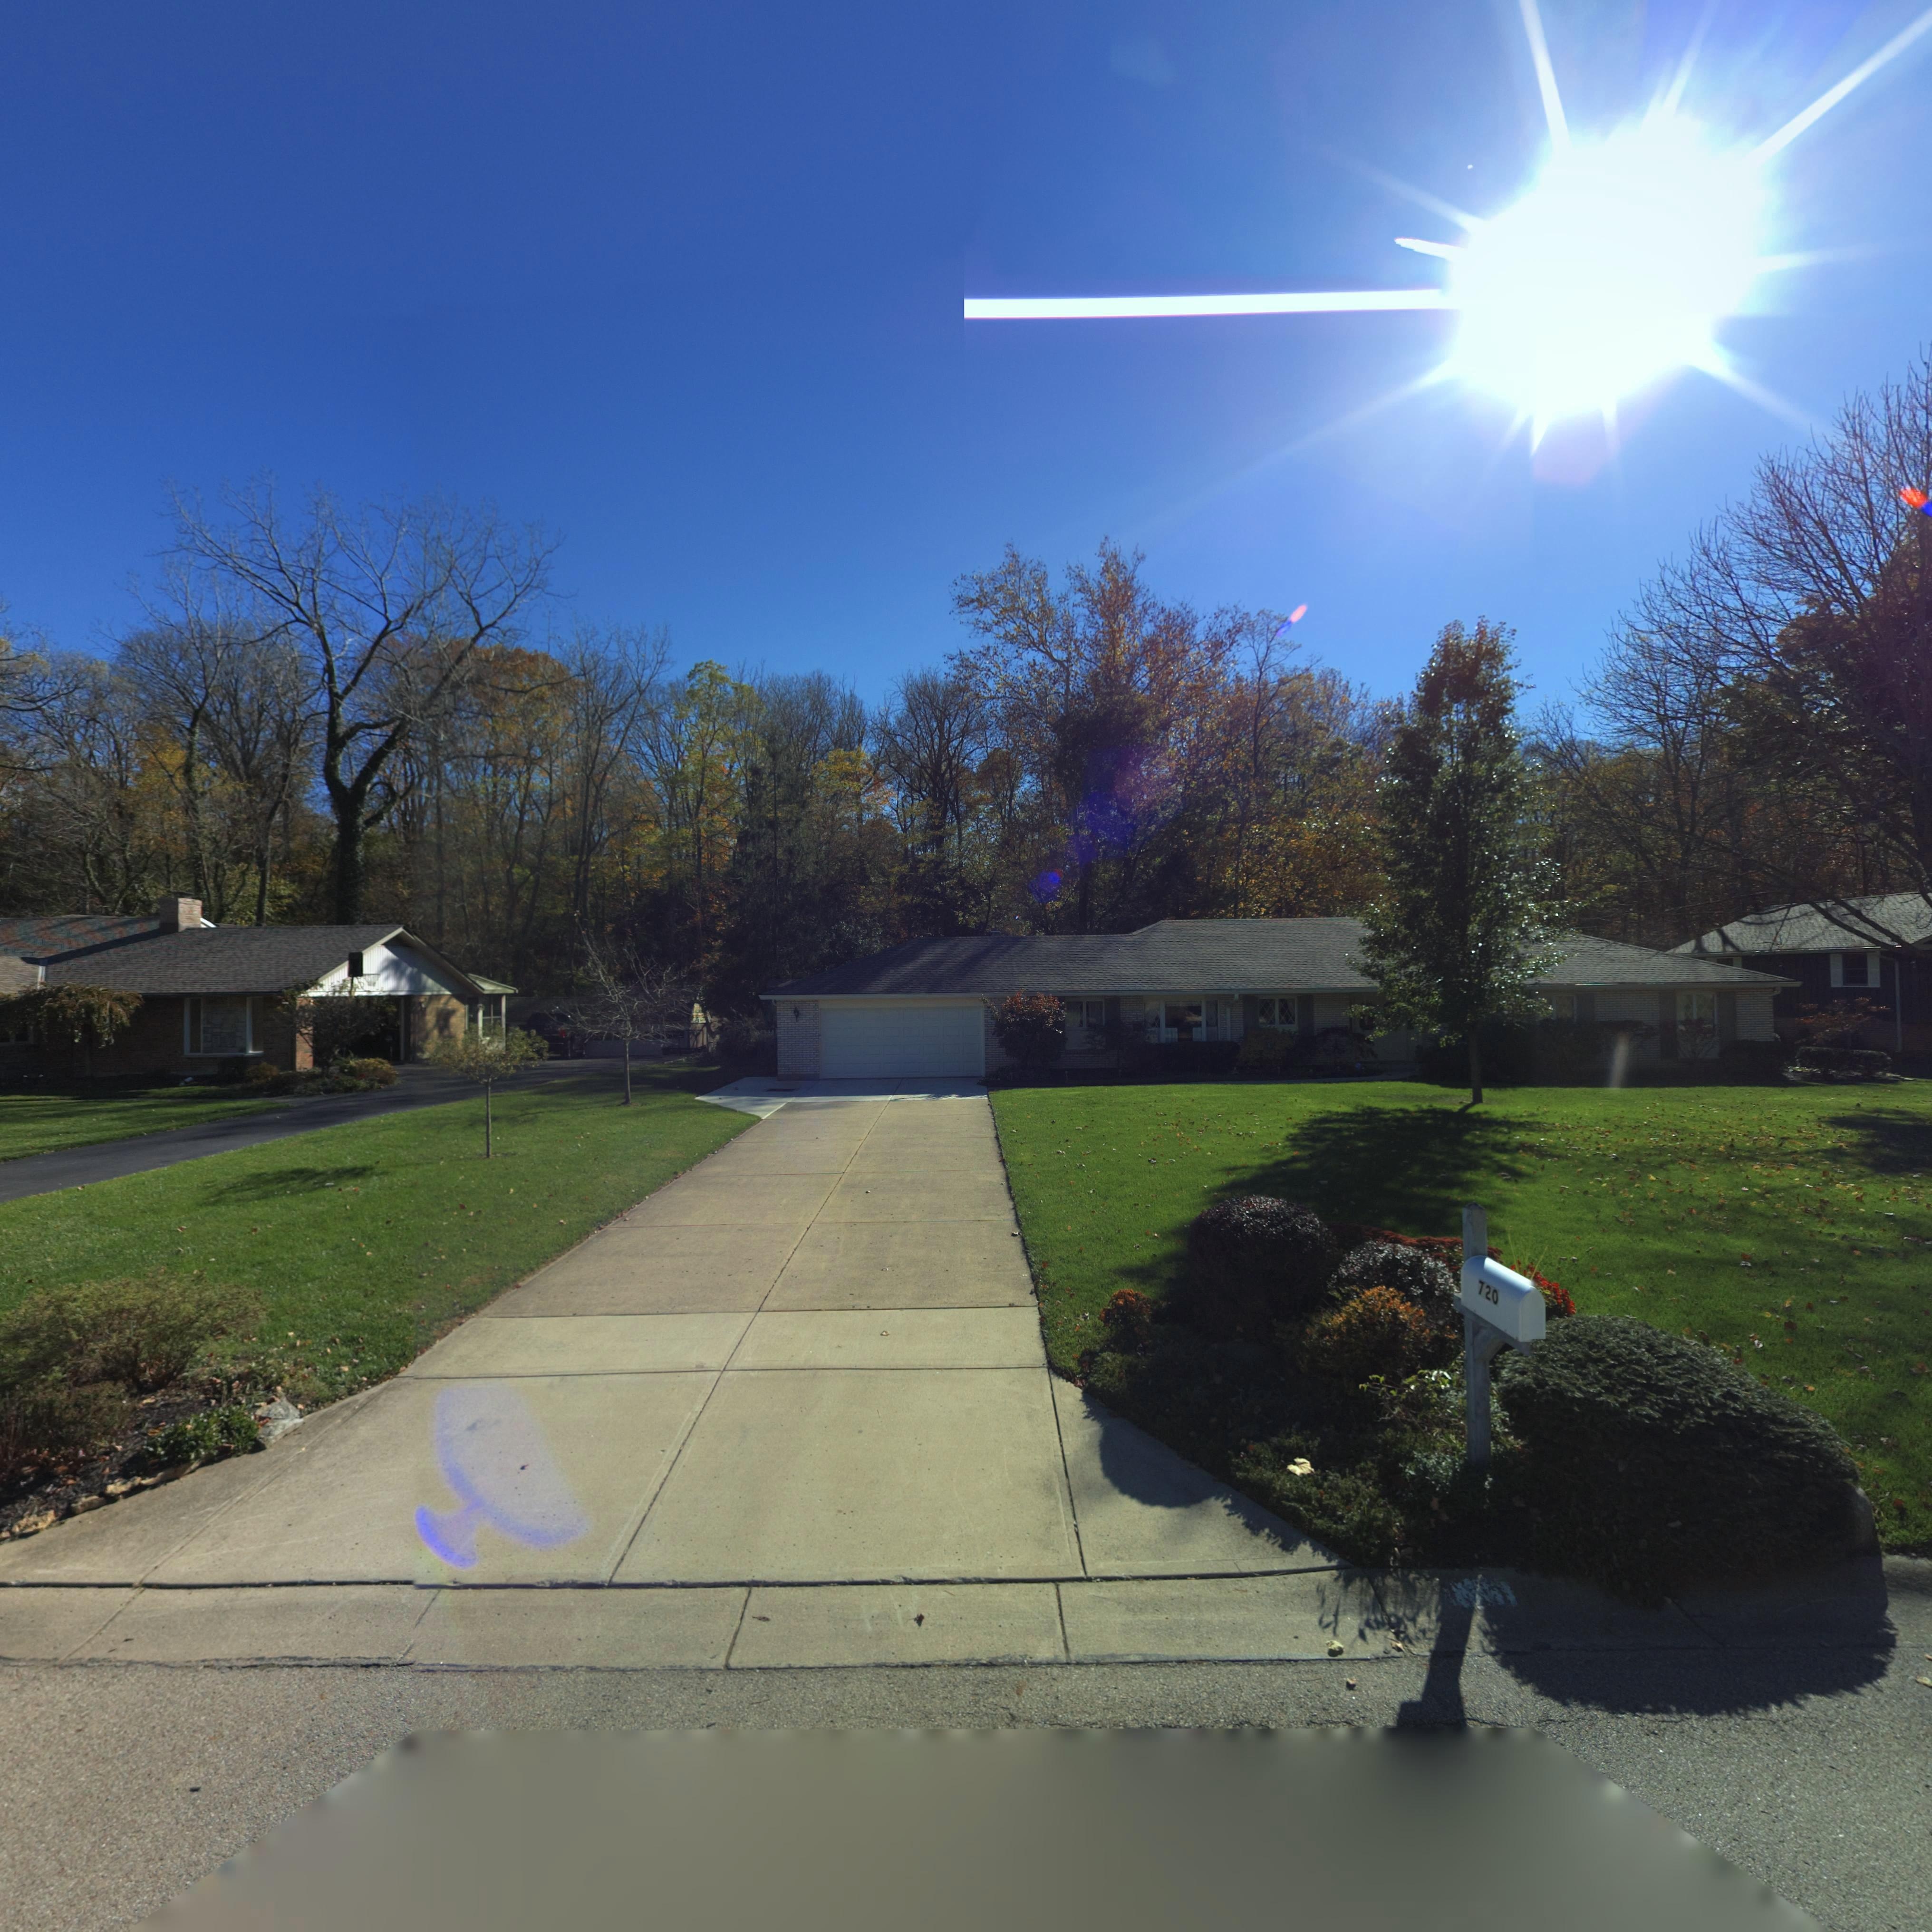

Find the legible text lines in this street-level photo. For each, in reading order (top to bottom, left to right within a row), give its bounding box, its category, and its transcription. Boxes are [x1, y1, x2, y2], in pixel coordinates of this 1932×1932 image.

[1477, 1277, 1500, 1307] StreetNumber: 720